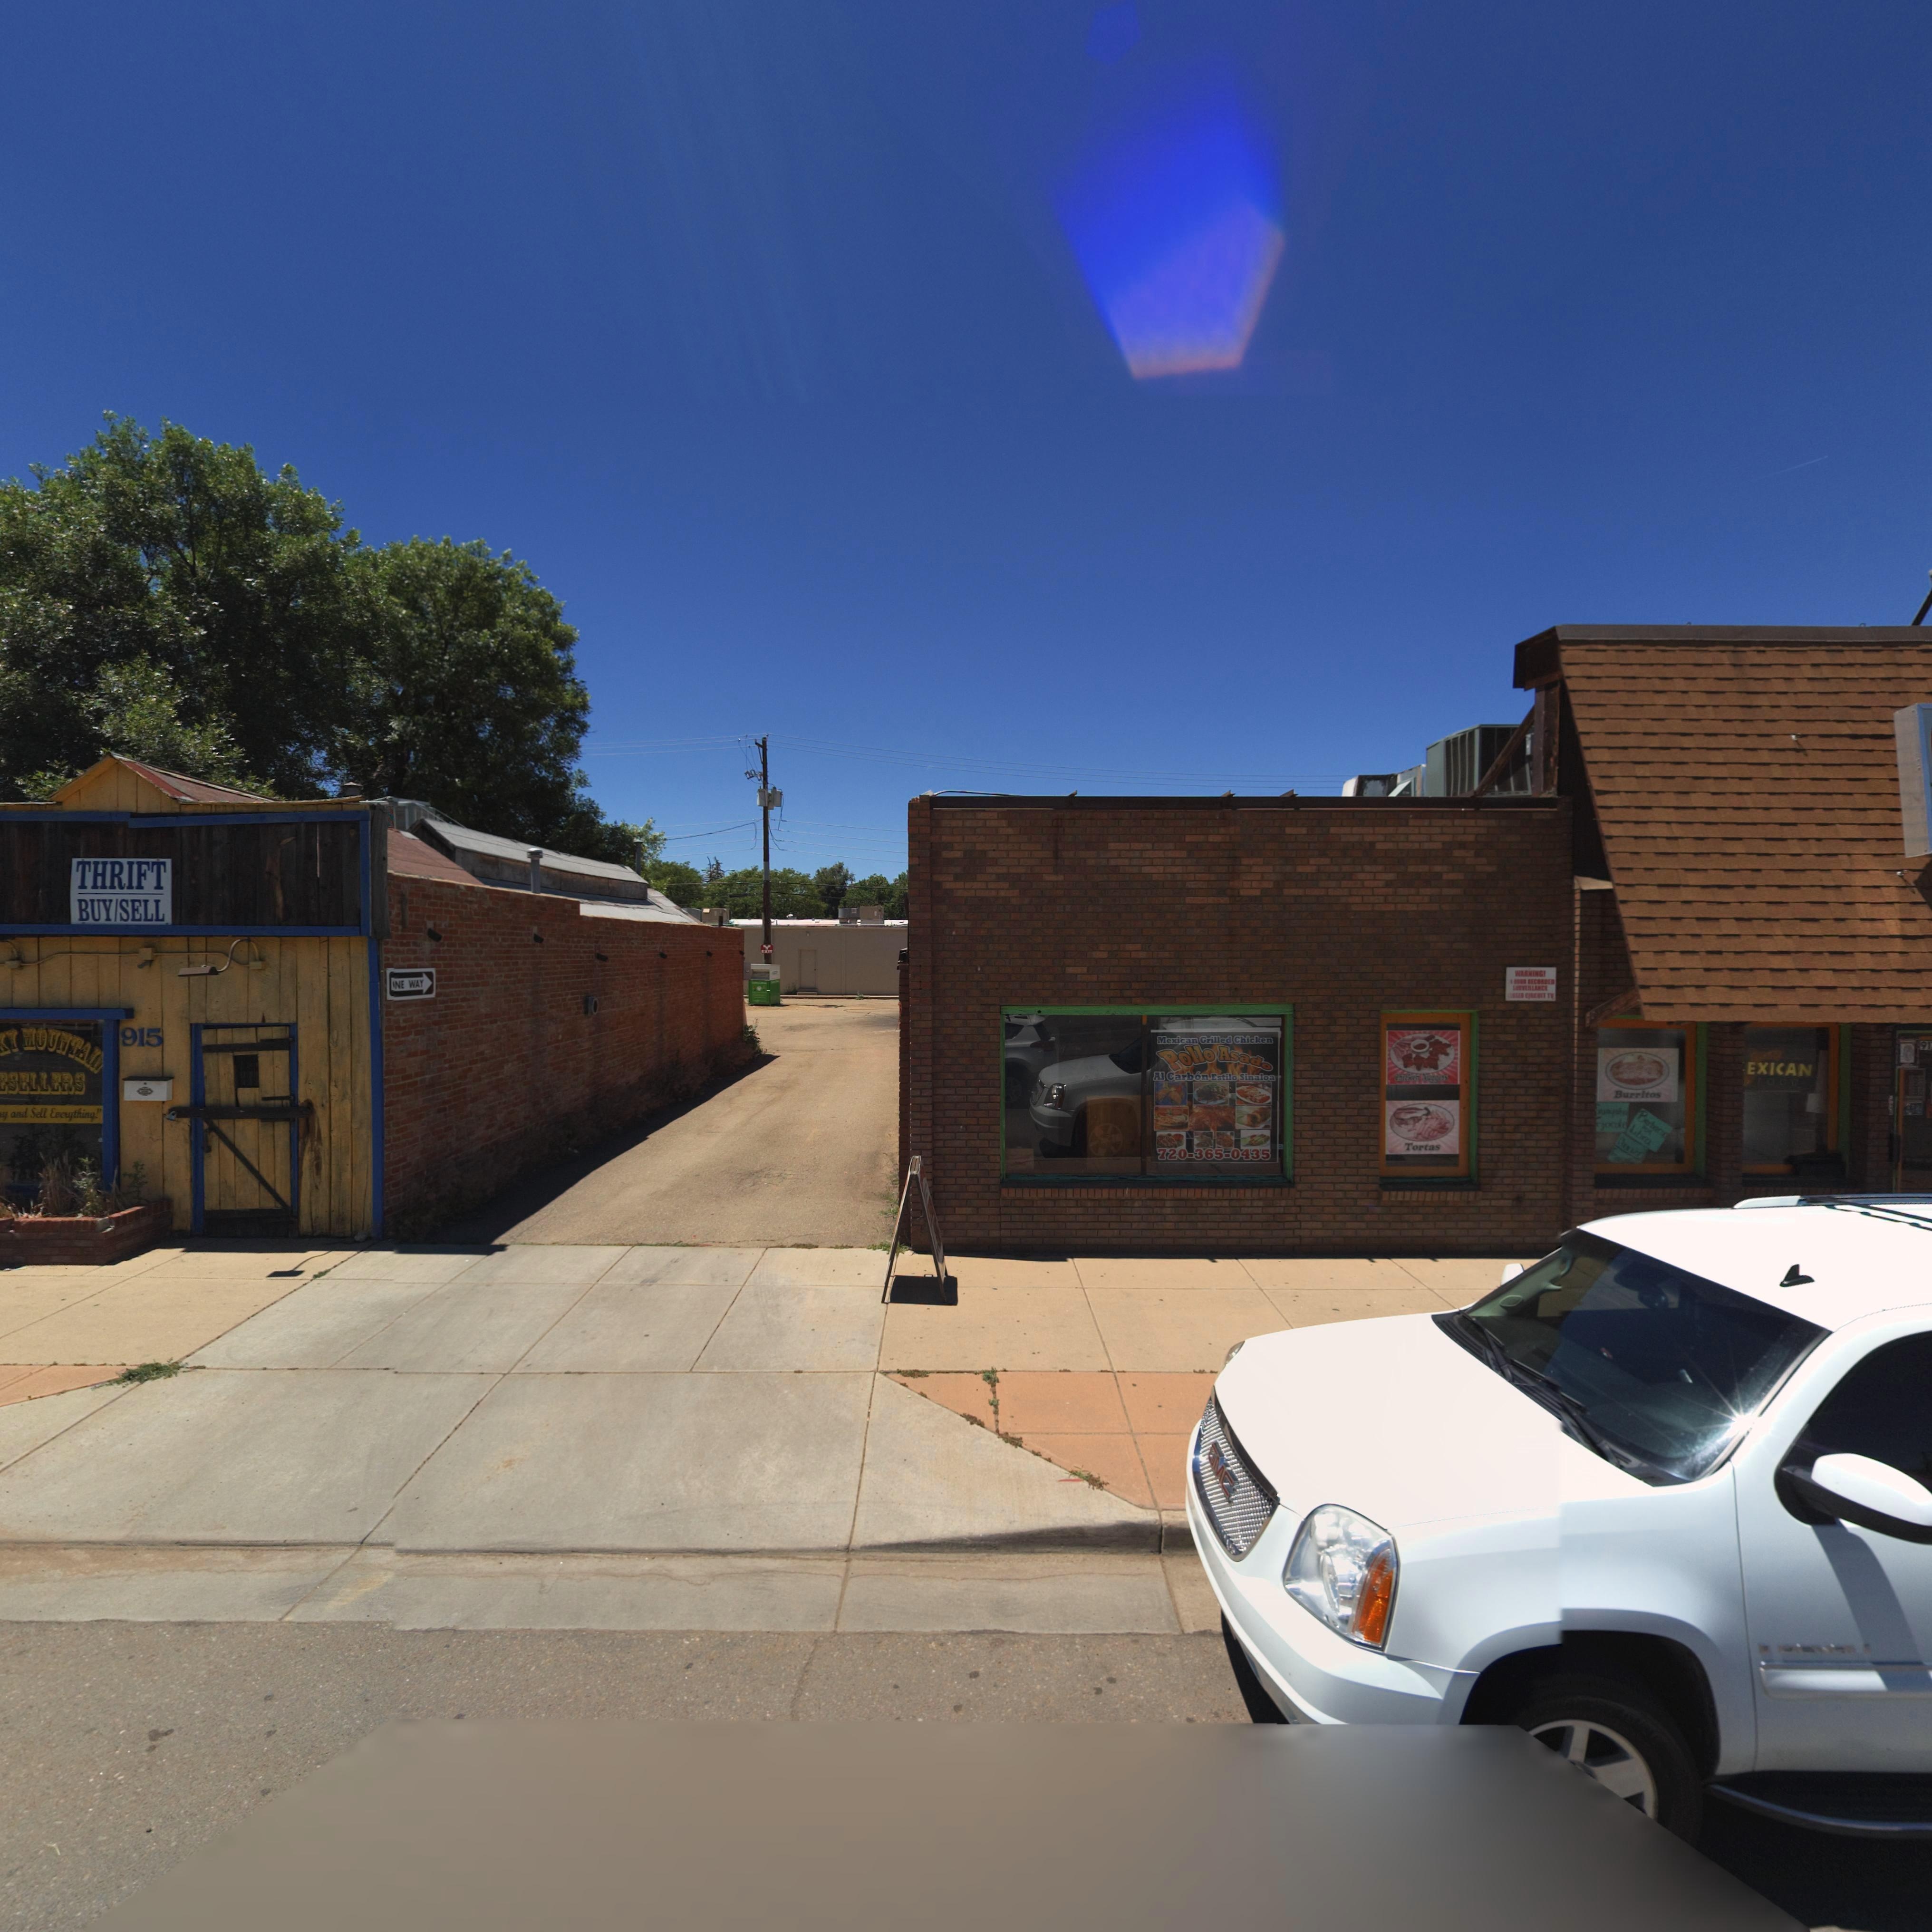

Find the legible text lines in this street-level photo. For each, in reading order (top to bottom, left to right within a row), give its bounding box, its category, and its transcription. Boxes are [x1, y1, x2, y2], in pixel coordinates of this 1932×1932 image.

[4, 1027, 110, 1074] BusinessName: Y MOUNTAIN
[119, 1026, 164, 1049] StreetNumber: 915
[1919, 1041, 1931, 1049] StreetNumber: 91
[5, 1072, 85, 1092] BusinessName: SELLERS